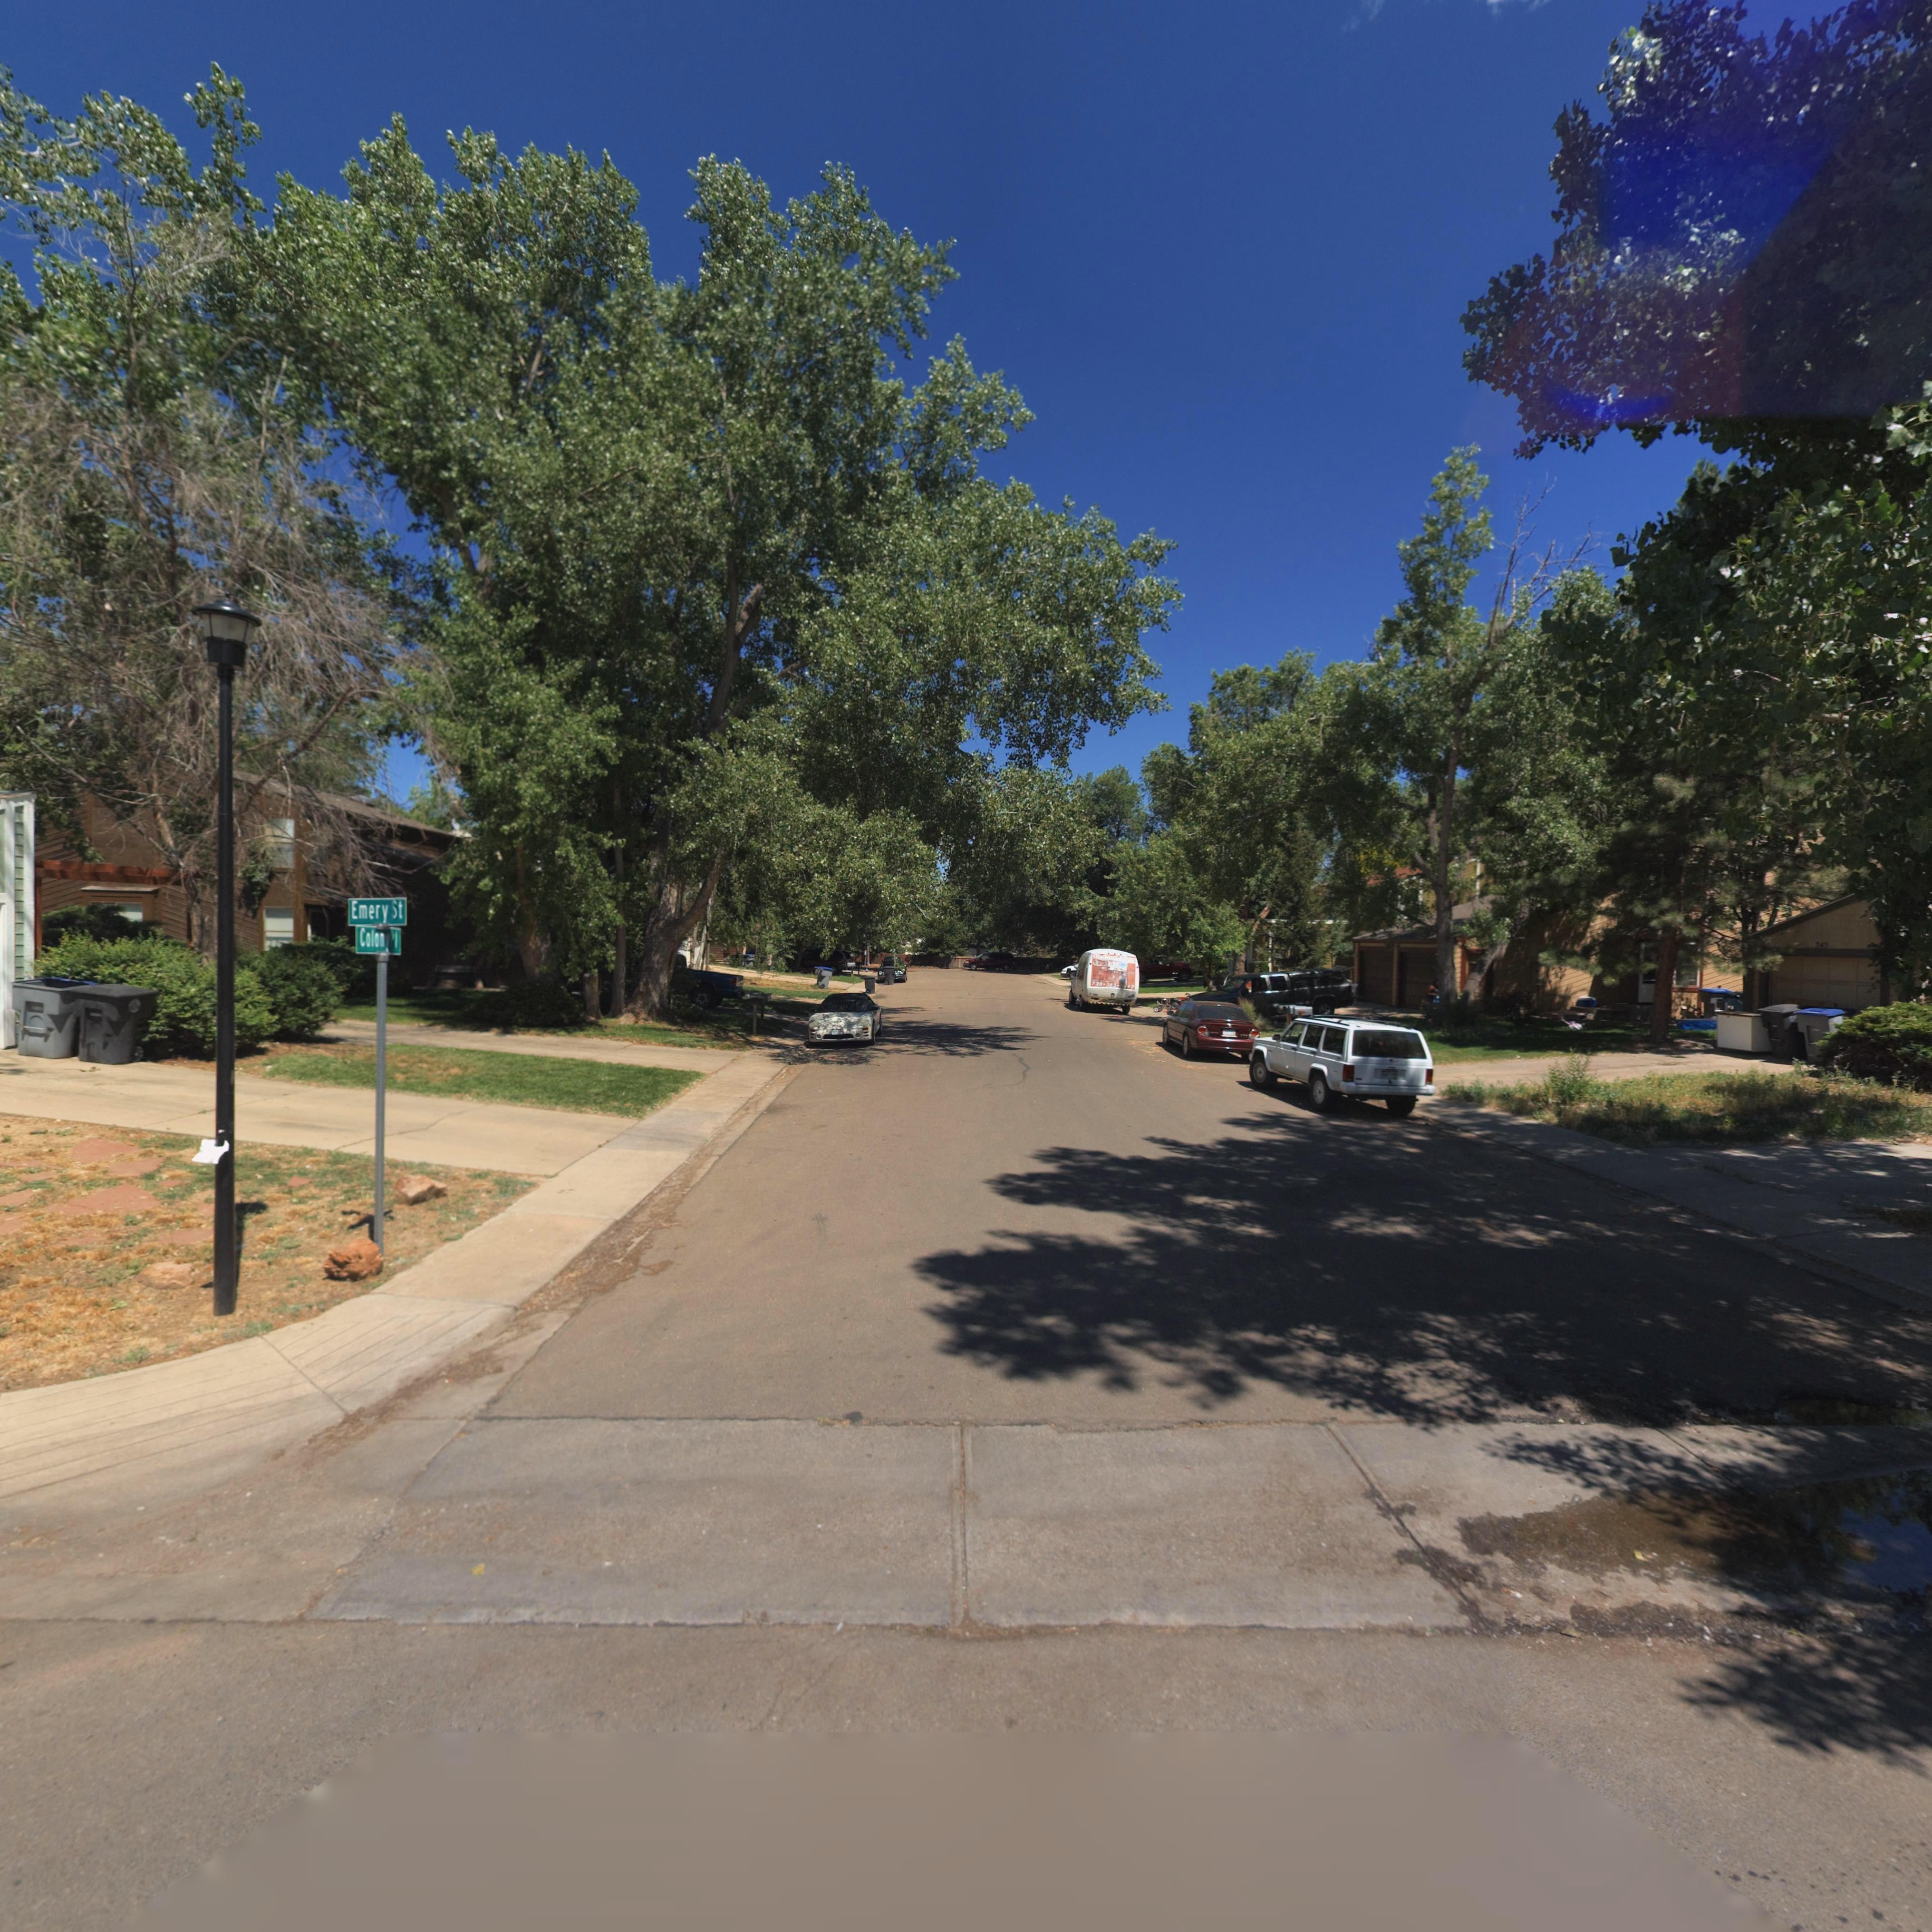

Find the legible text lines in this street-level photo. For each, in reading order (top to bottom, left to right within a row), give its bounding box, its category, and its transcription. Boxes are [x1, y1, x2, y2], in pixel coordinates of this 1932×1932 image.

[351, 899, 403, 923] StreetName: Emery *t
[359, 927, 398, 953] StreetName: Colony **
[1815, 941, 1829, 948] StreetNumber: 34*